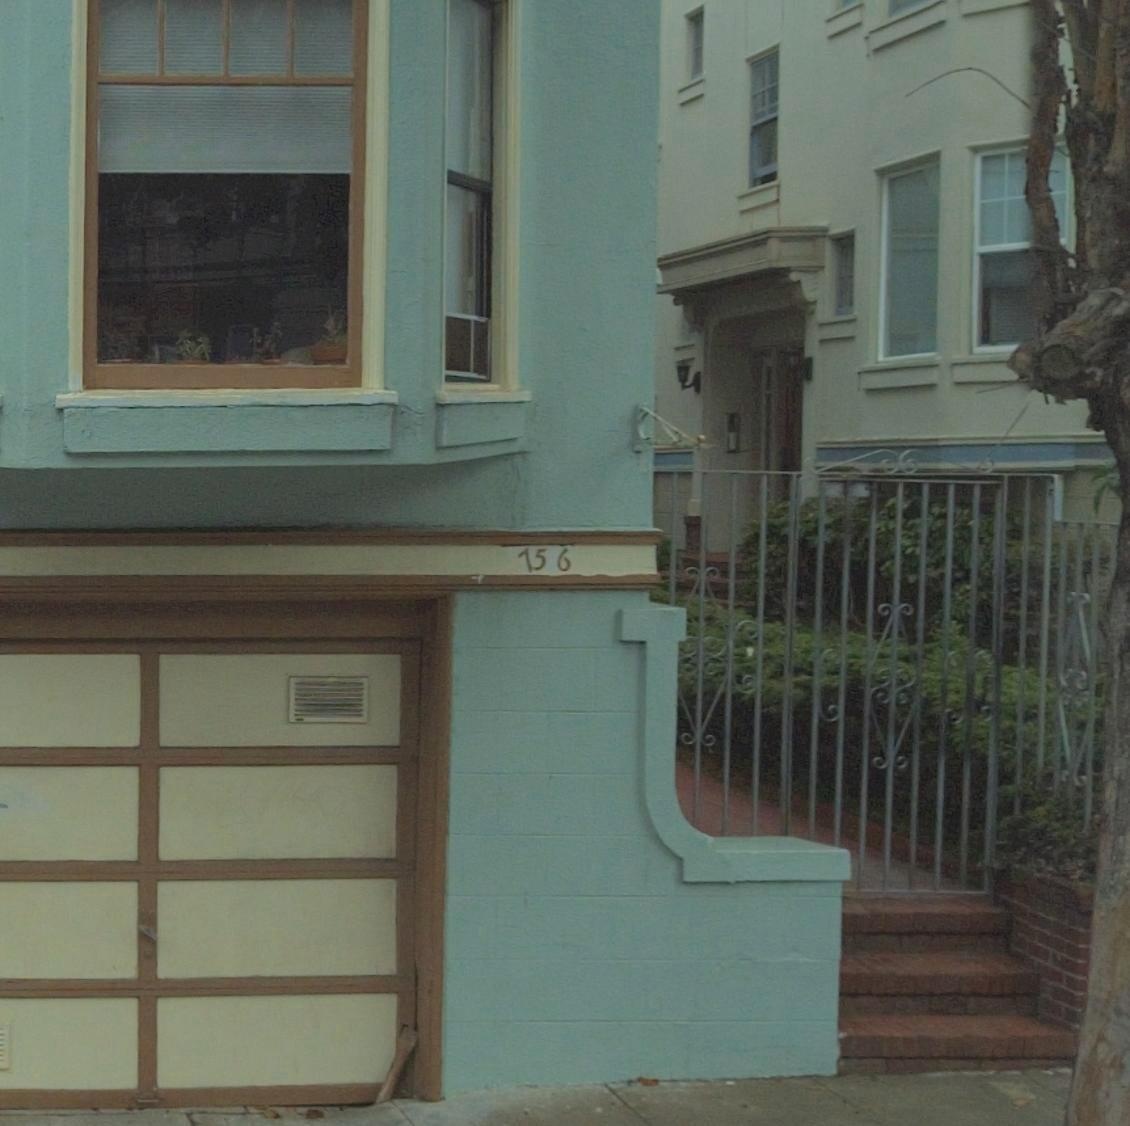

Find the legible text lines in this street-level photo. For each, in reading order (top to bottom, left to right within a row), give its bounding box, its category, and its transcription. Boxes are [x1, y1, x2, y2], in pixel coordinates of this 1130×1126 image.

[516, 545, 573, 575] StreetNumber: 756